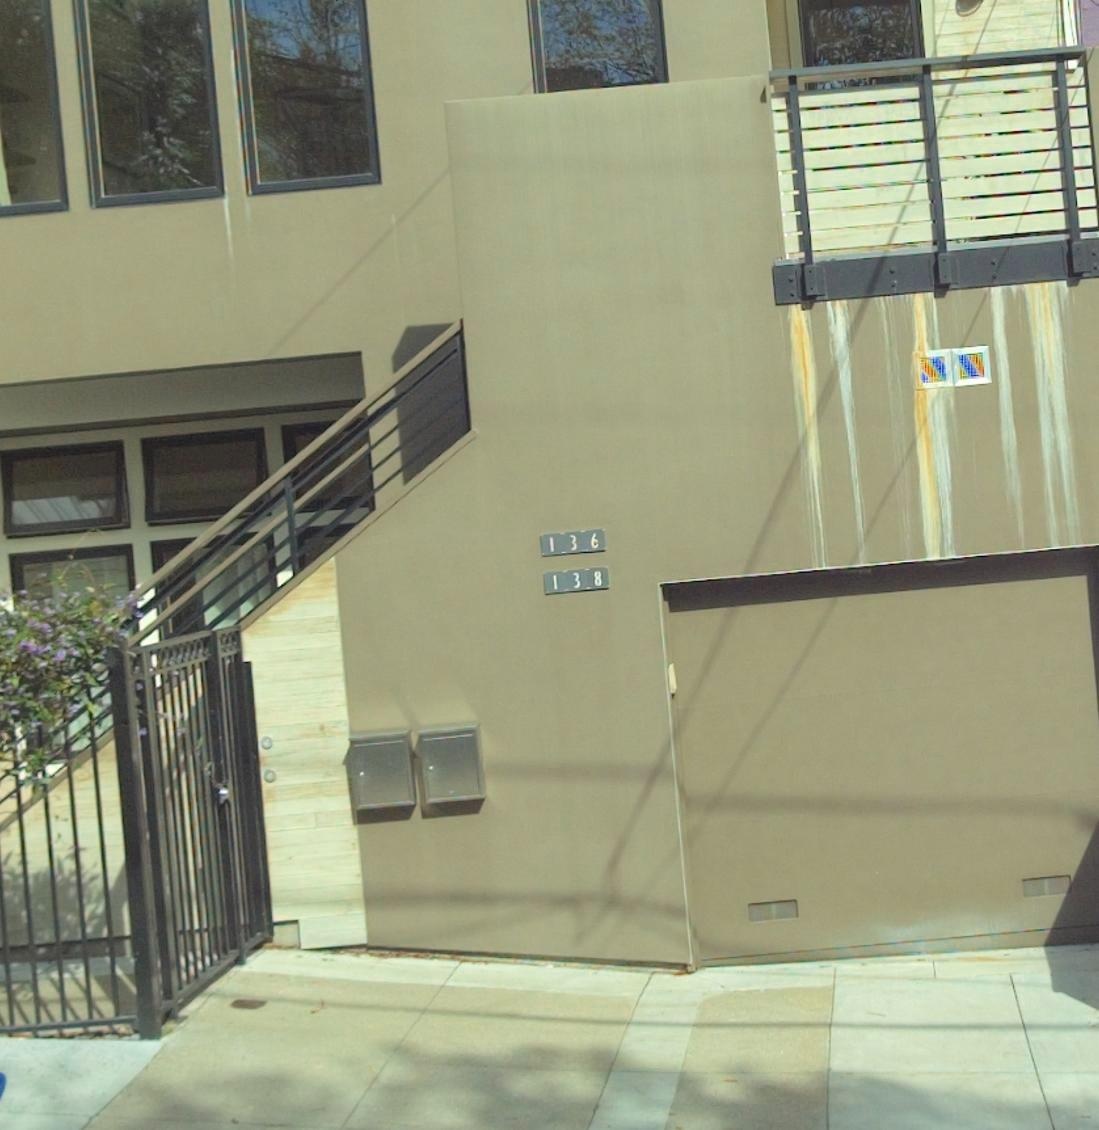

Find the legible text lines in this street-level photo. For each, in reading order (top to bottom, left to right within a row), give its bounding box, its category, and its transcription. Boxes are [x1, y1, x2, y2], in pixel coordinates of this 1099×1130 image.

[541, 529, 605, 556] StreetNumber: 136
[546, 567, 608, 593] StreetNumber: 138